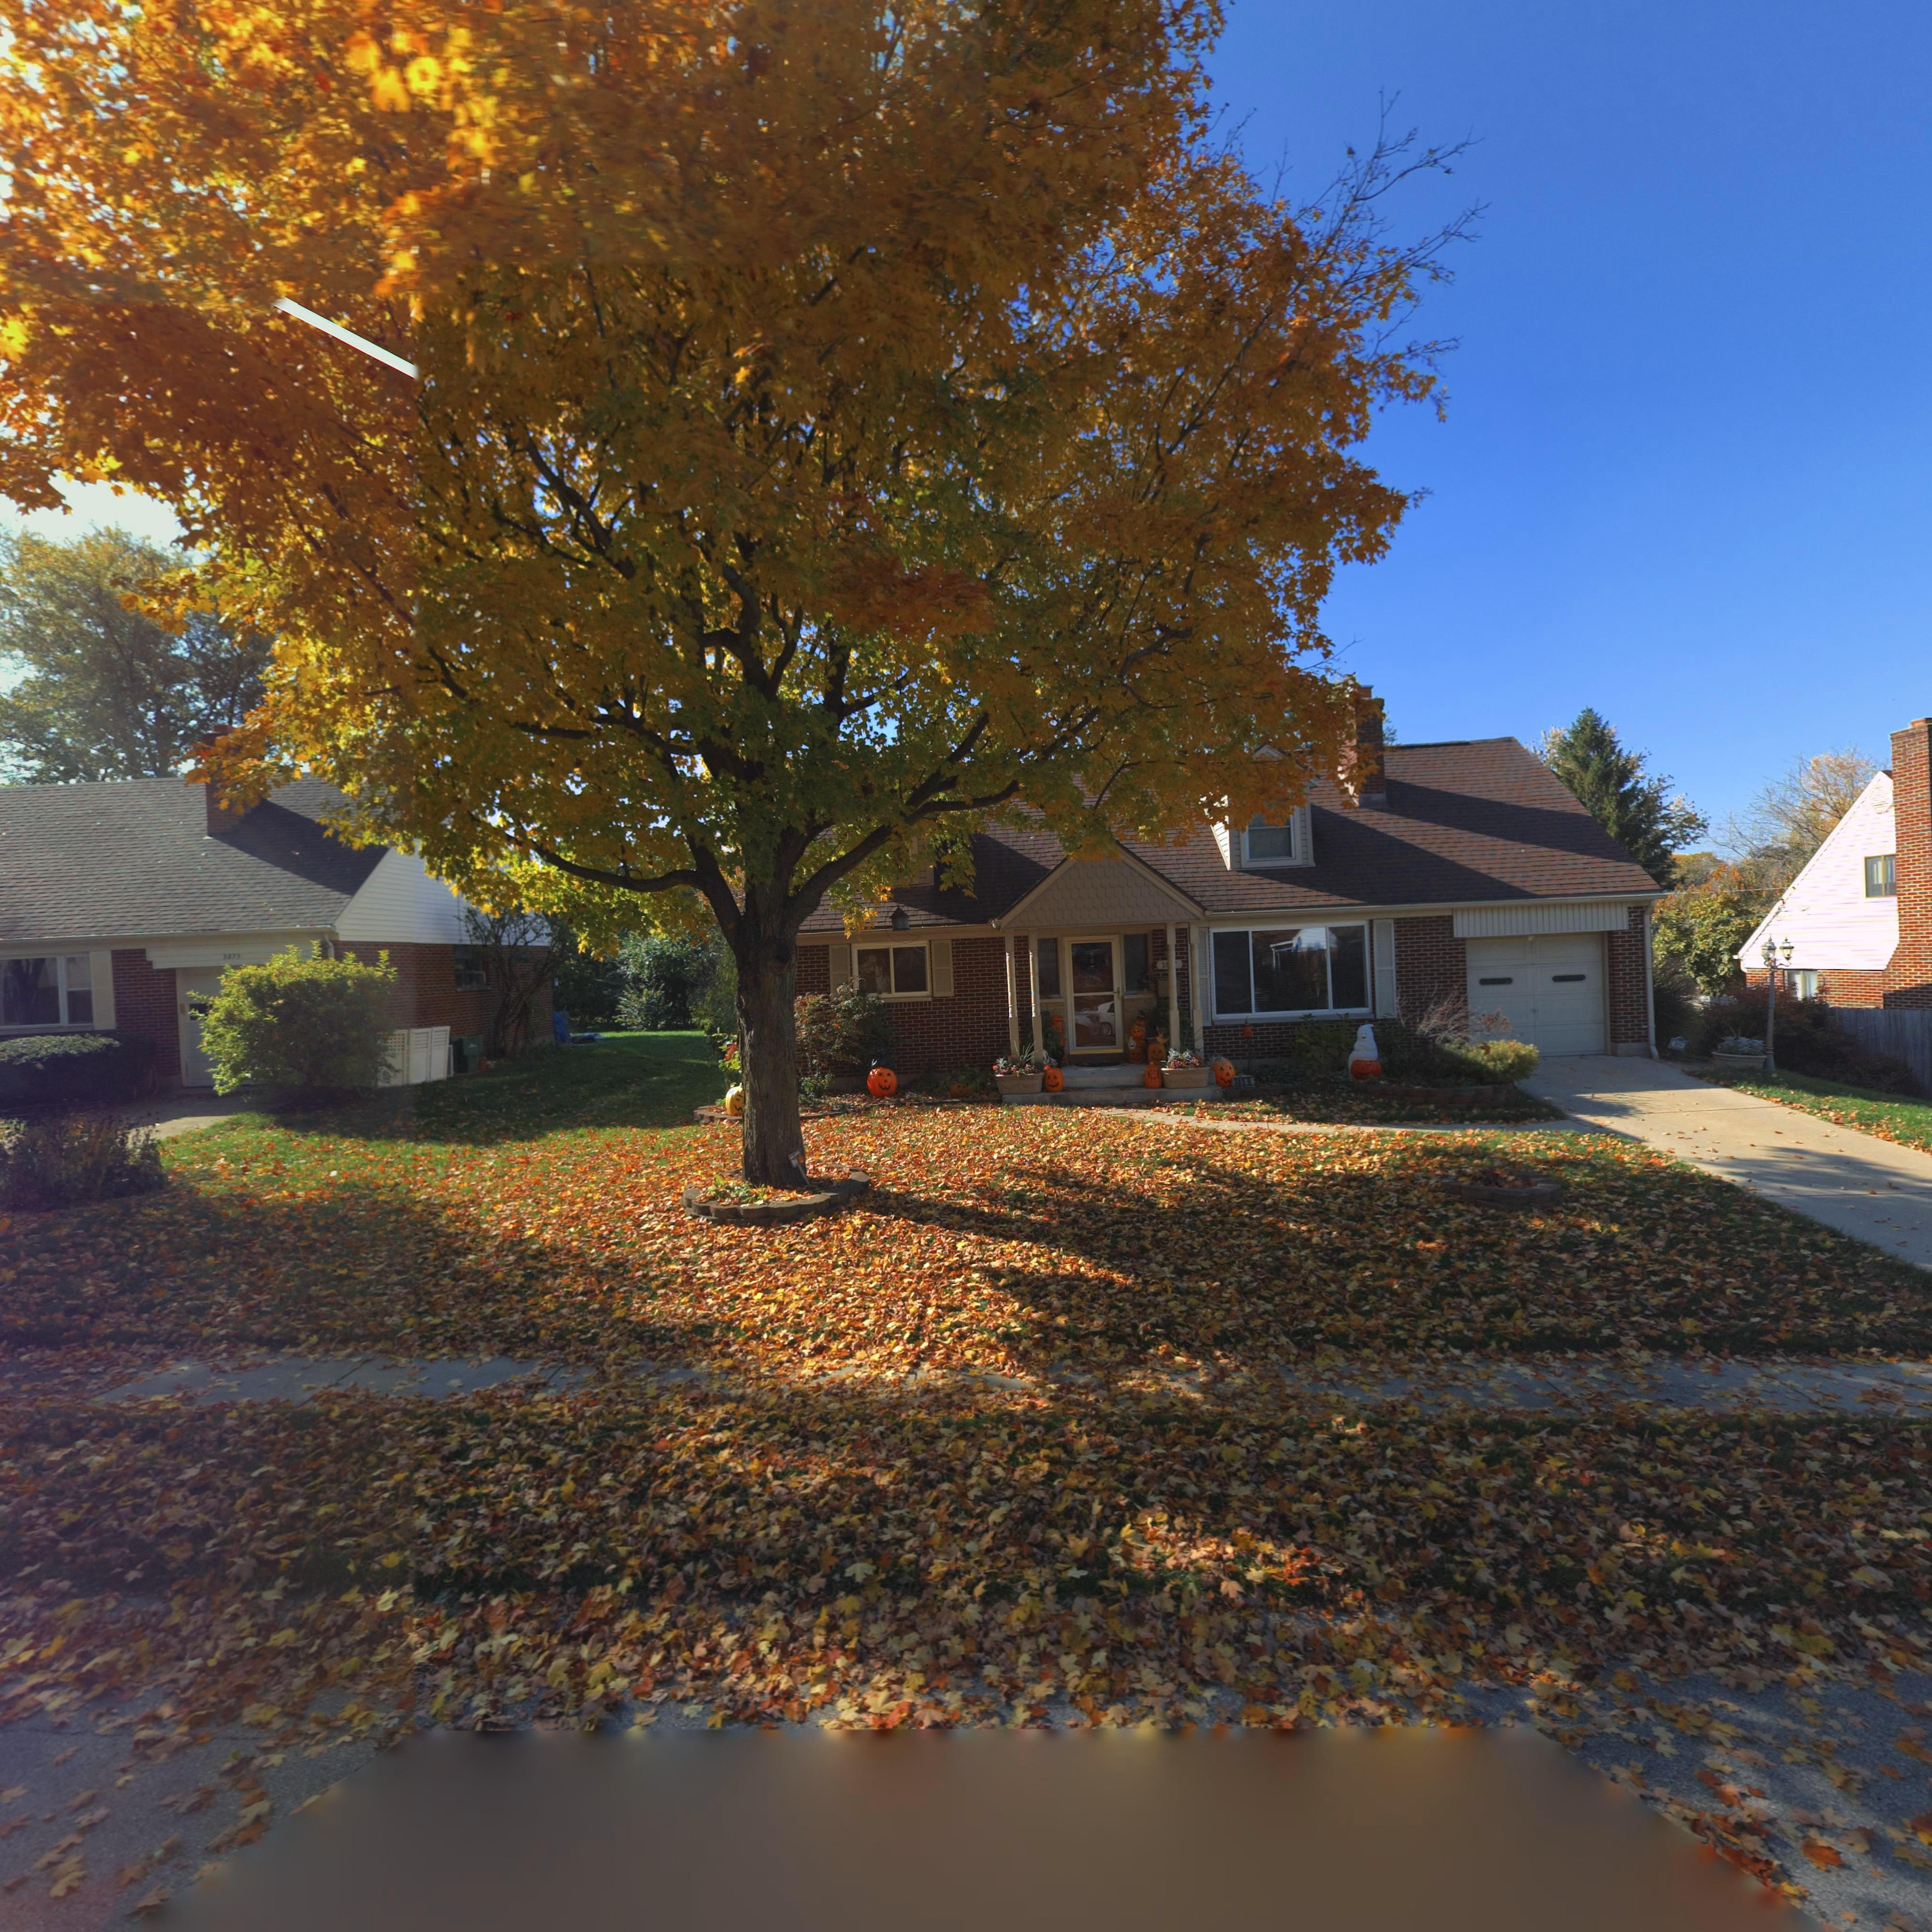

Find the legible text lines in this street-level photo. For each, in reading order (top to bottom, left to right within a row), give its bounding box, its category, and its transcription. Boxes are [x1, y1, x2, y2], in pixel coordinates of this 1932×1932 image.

[222, 953, 241, 960] StreetNumber: 3875
[1161, 961, 1178, 969] StreetNumber: 3***
[1233, 1077, 1251, 1086] StreetNumber: 3859